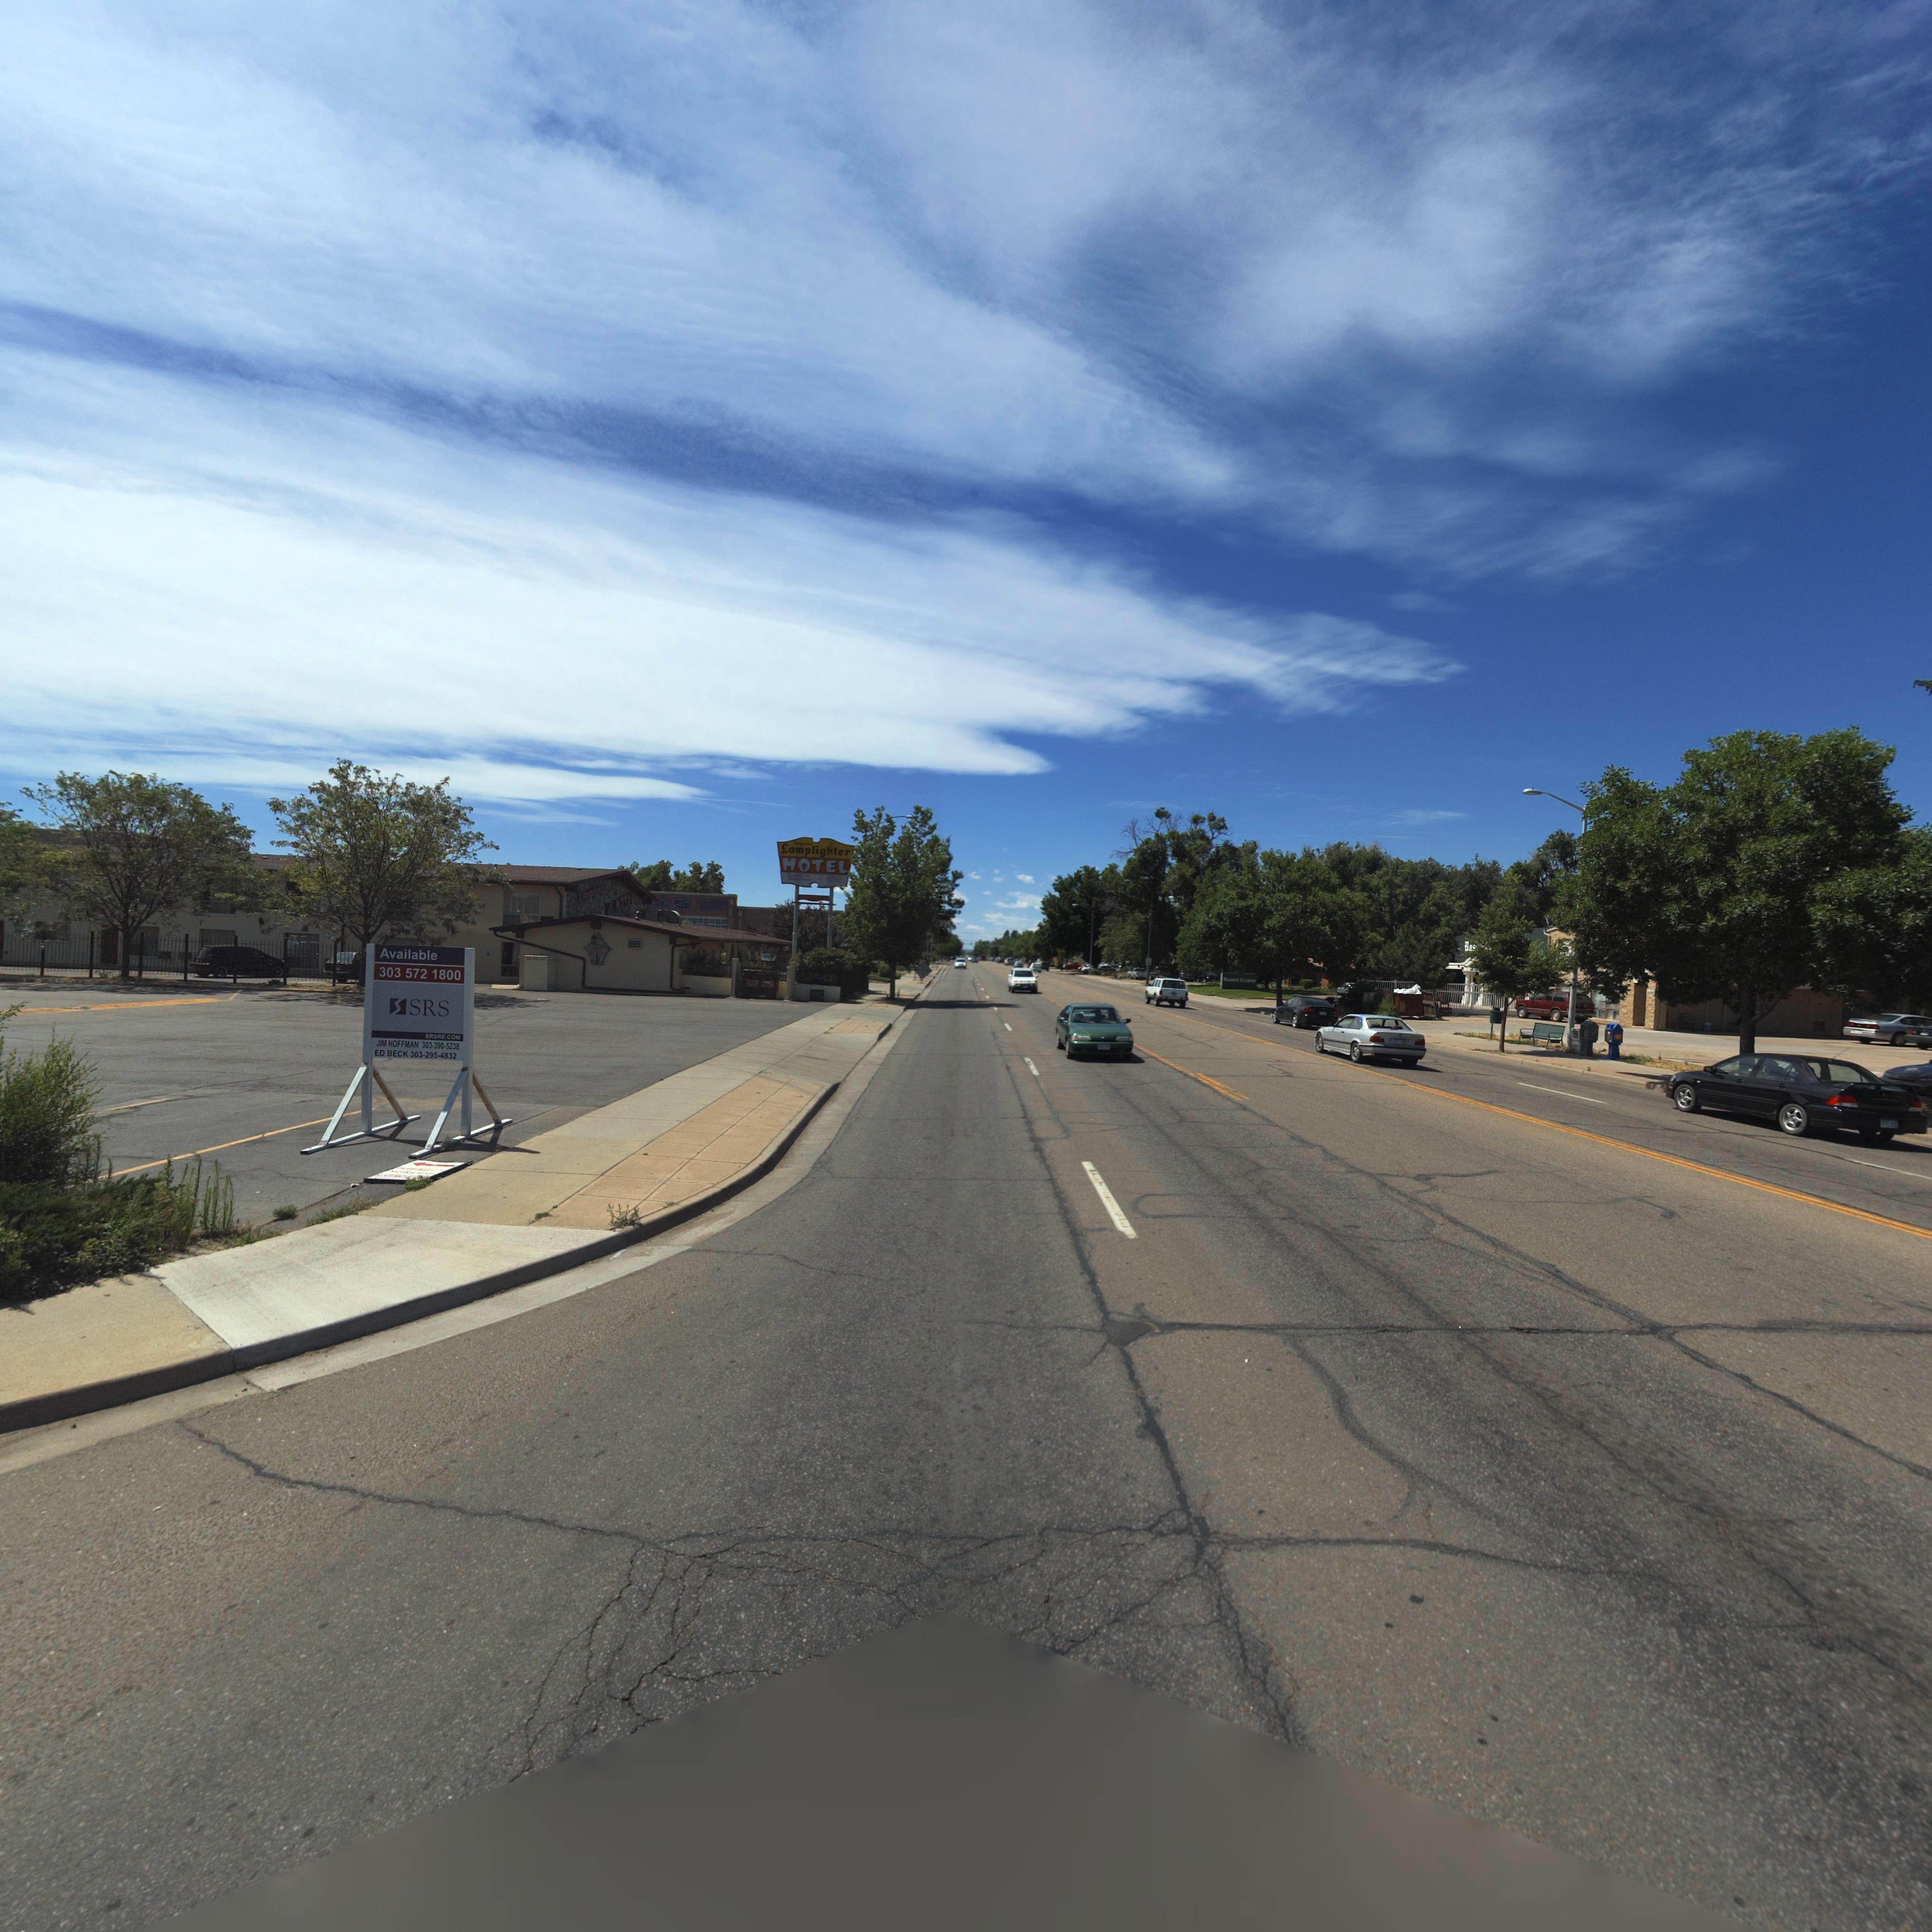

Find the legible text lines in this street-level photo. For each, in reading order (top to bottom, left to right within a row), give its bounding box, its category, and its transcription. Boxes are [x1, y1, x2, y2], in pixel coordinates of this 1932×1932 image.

[781, 842, 851, 857] BusinessName: Lamplighter
[782, 857, 848, 874] BusinessName: MOTEL
[577, 882, 608, 901] BusinessName: L**p*****e*
[615, 893, 634, 911] BusinessName: *OTE*
[652, 898, 690, 909] BusinessName: *G 5
[1464, 941, 1476, 951] BusinessName: Ba*
[1223, 977, 1256, 984] BusinessName: **ss**** C**p***